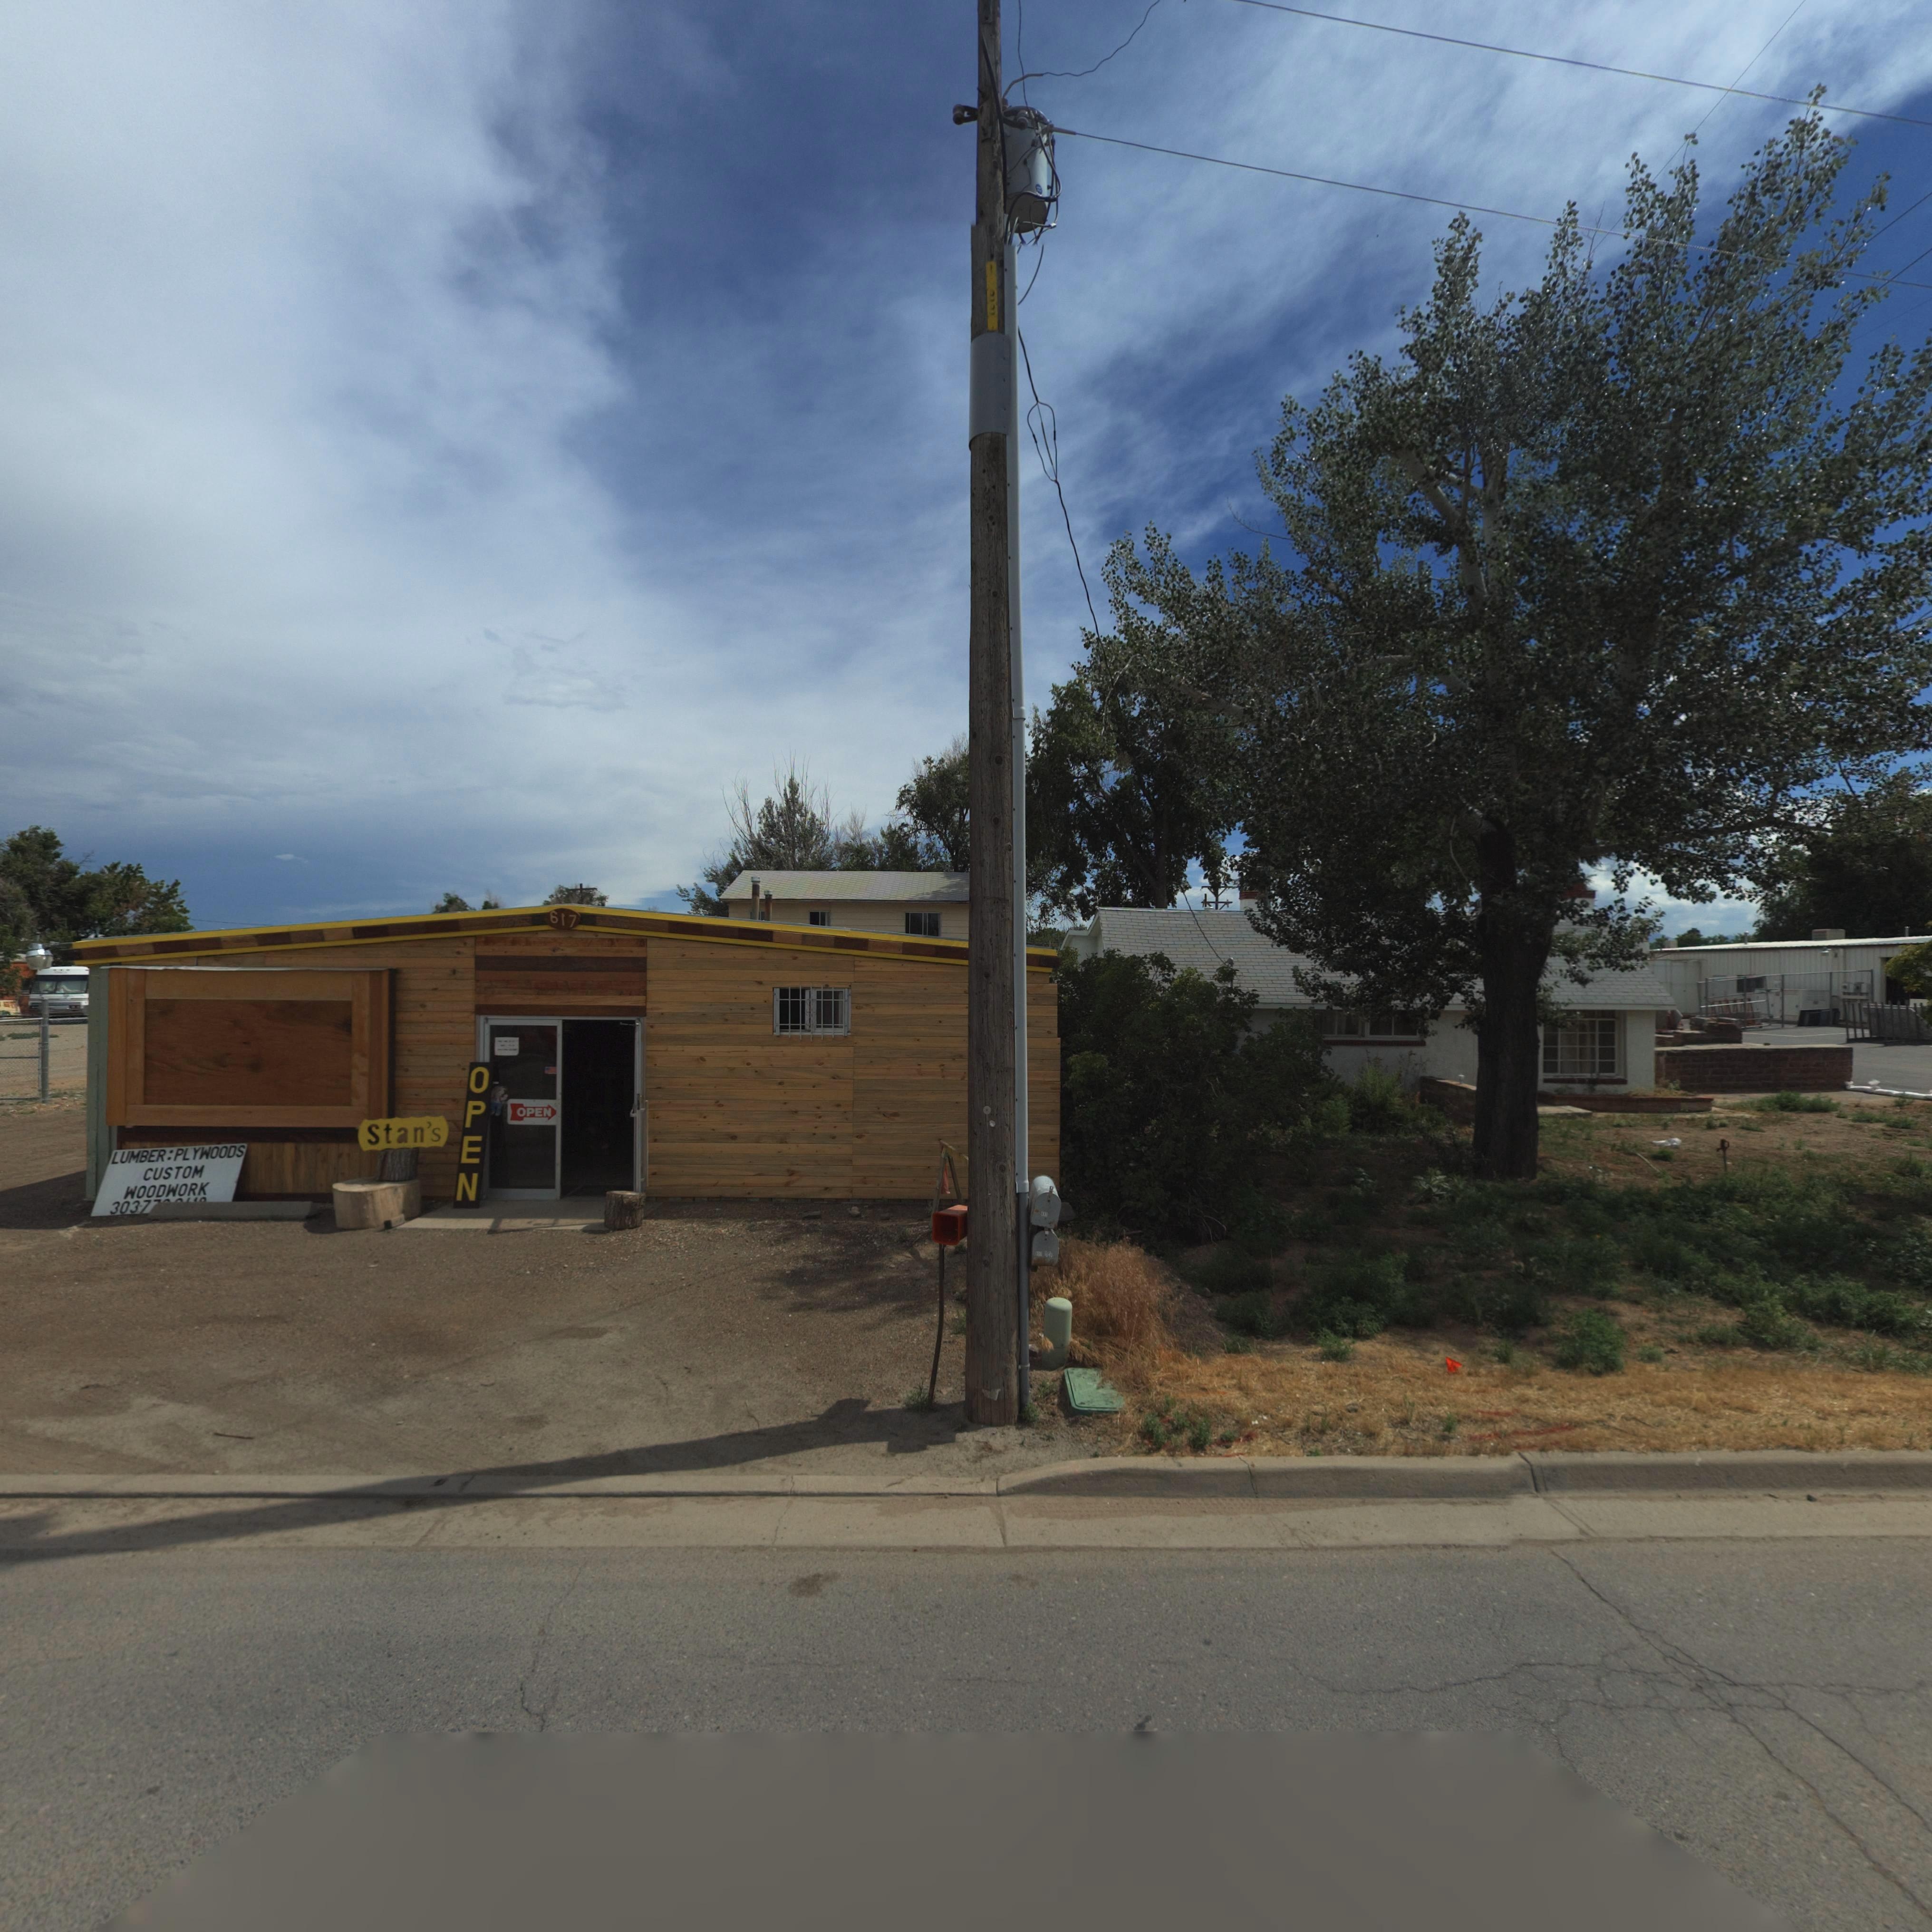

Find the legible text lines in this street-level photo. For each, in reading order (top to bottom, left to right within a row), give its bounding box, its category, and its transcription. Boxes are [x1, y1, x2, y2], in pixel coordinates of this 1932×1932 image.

[549, 909, 578, 928] StreetNumber: 617
[366, 1120, 442, 1146] BusinessName: Stan's